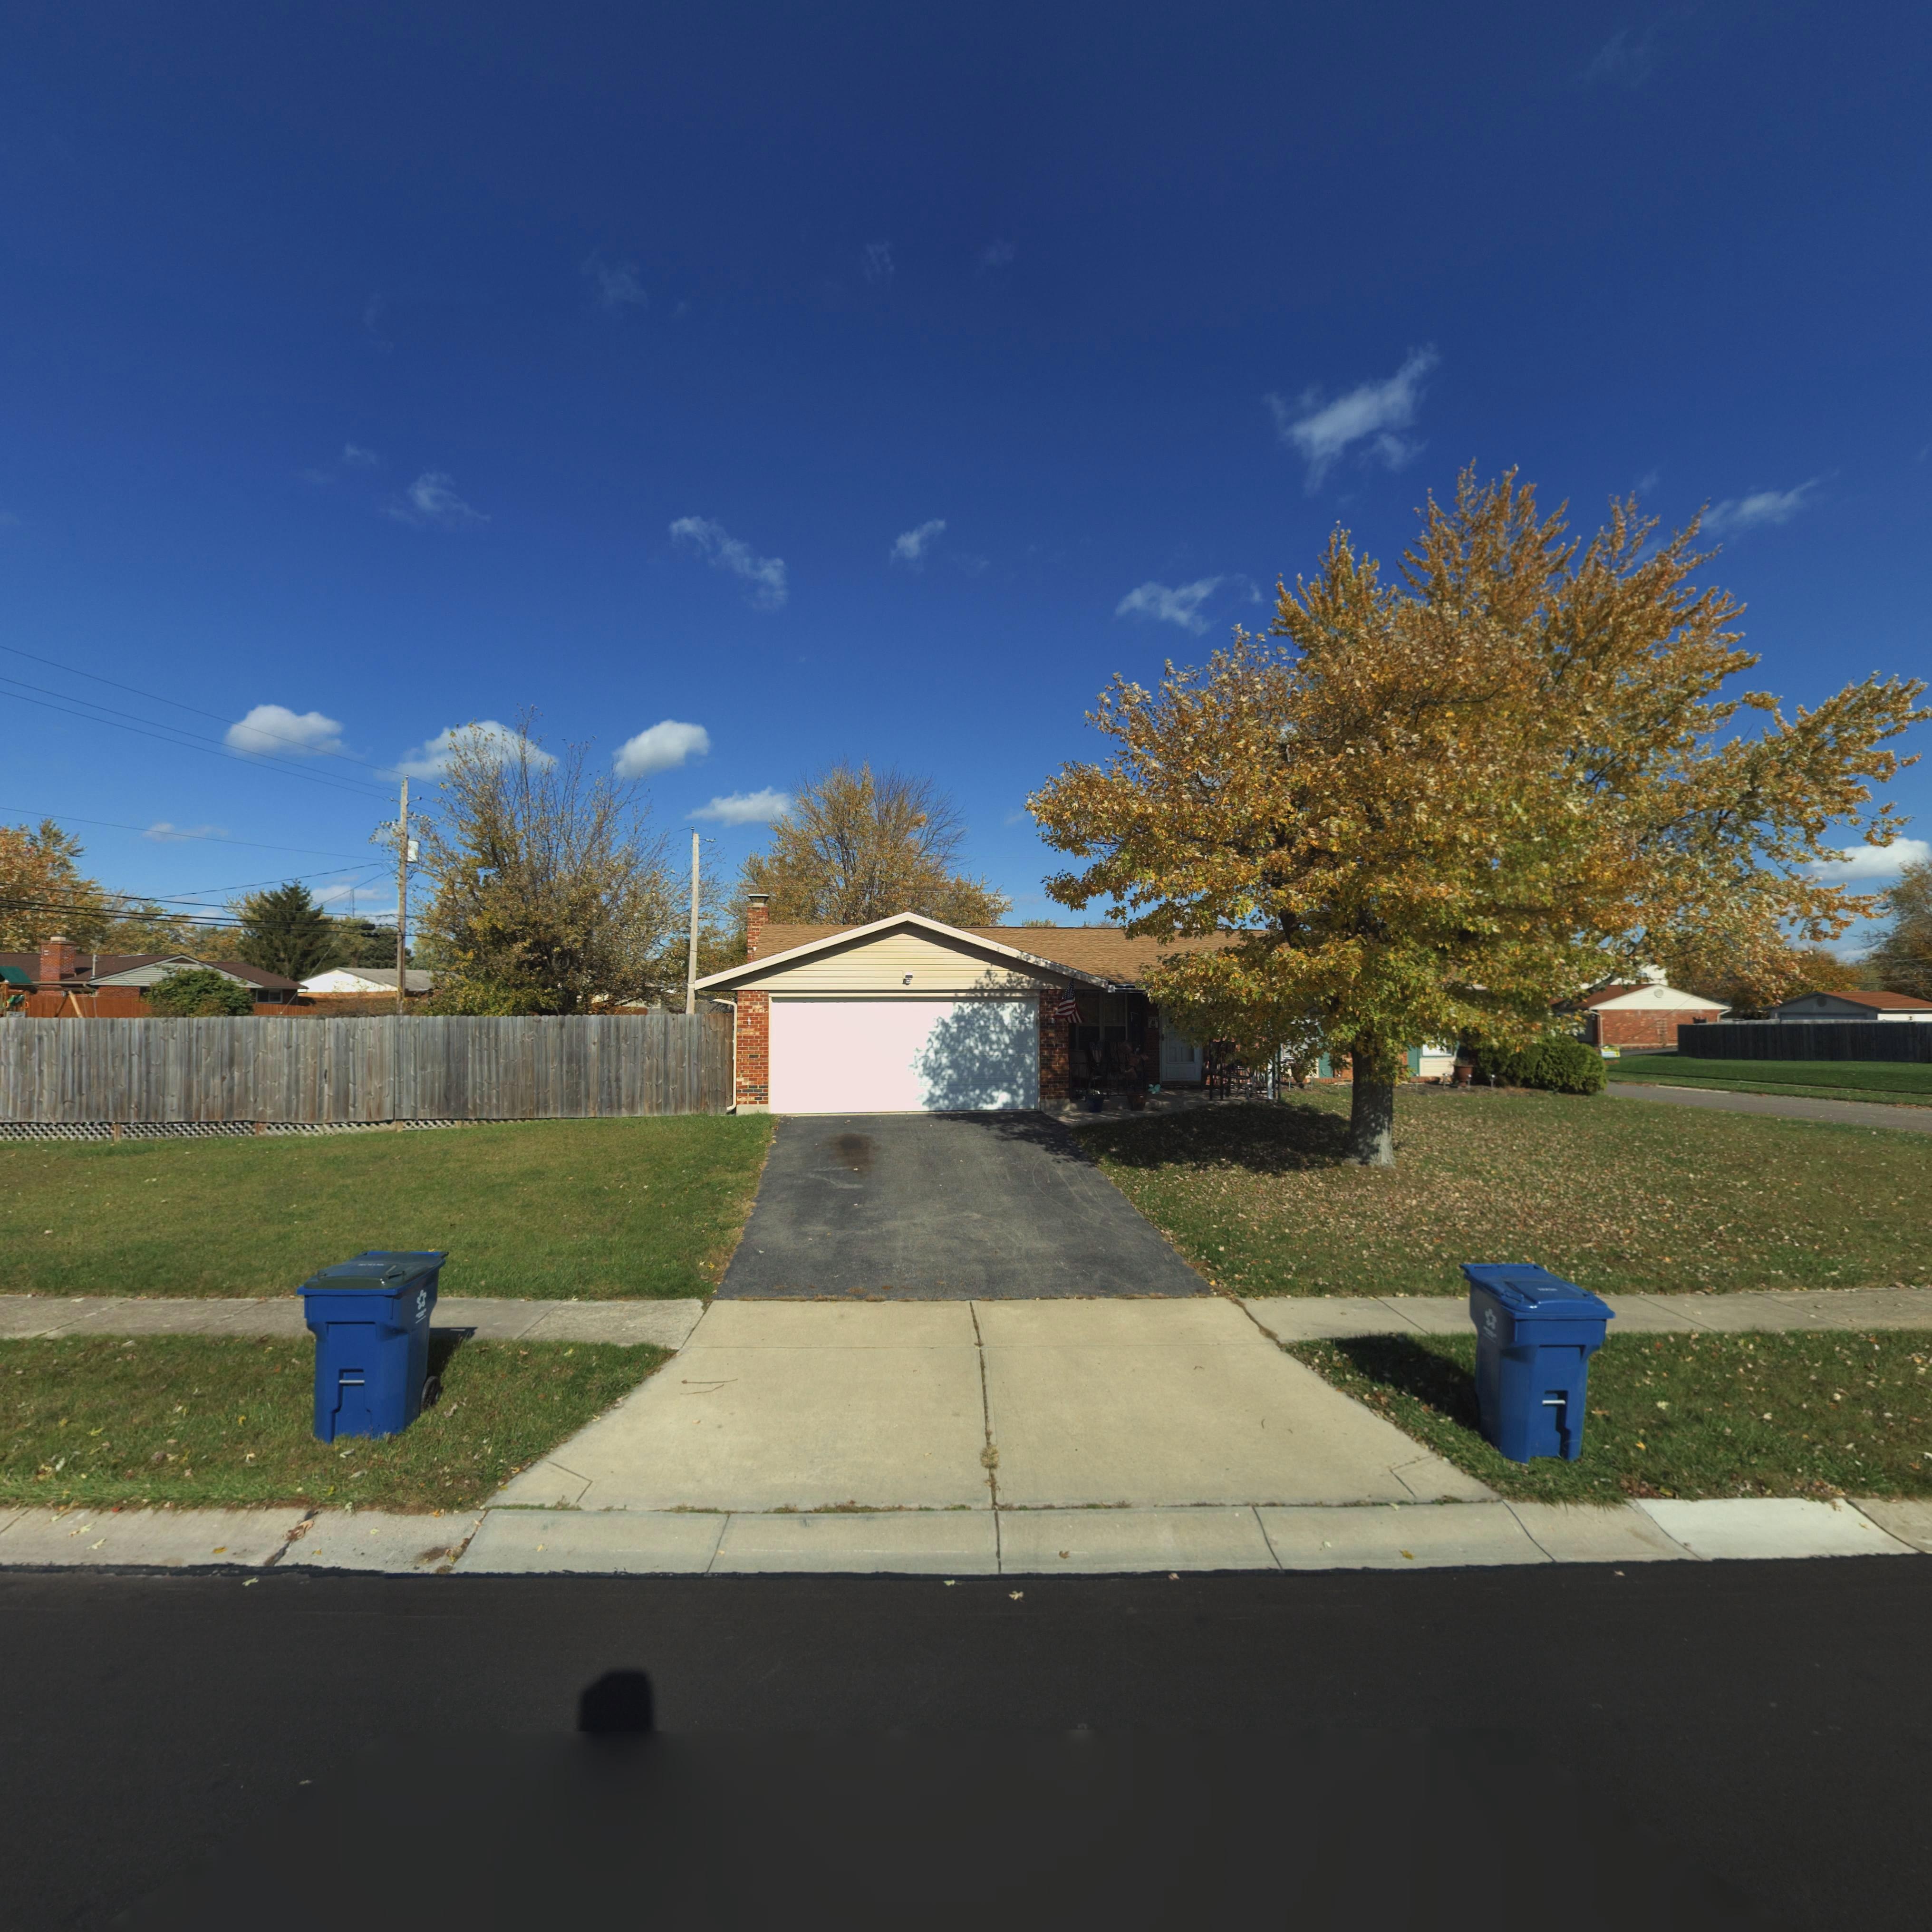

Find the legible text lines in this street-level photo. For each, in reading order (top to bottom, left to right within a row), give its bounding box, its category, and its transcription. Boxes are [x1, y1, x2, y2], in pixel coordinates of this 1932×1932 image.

[1148, 1017, 1159, 1023] StreetNumber: 7***